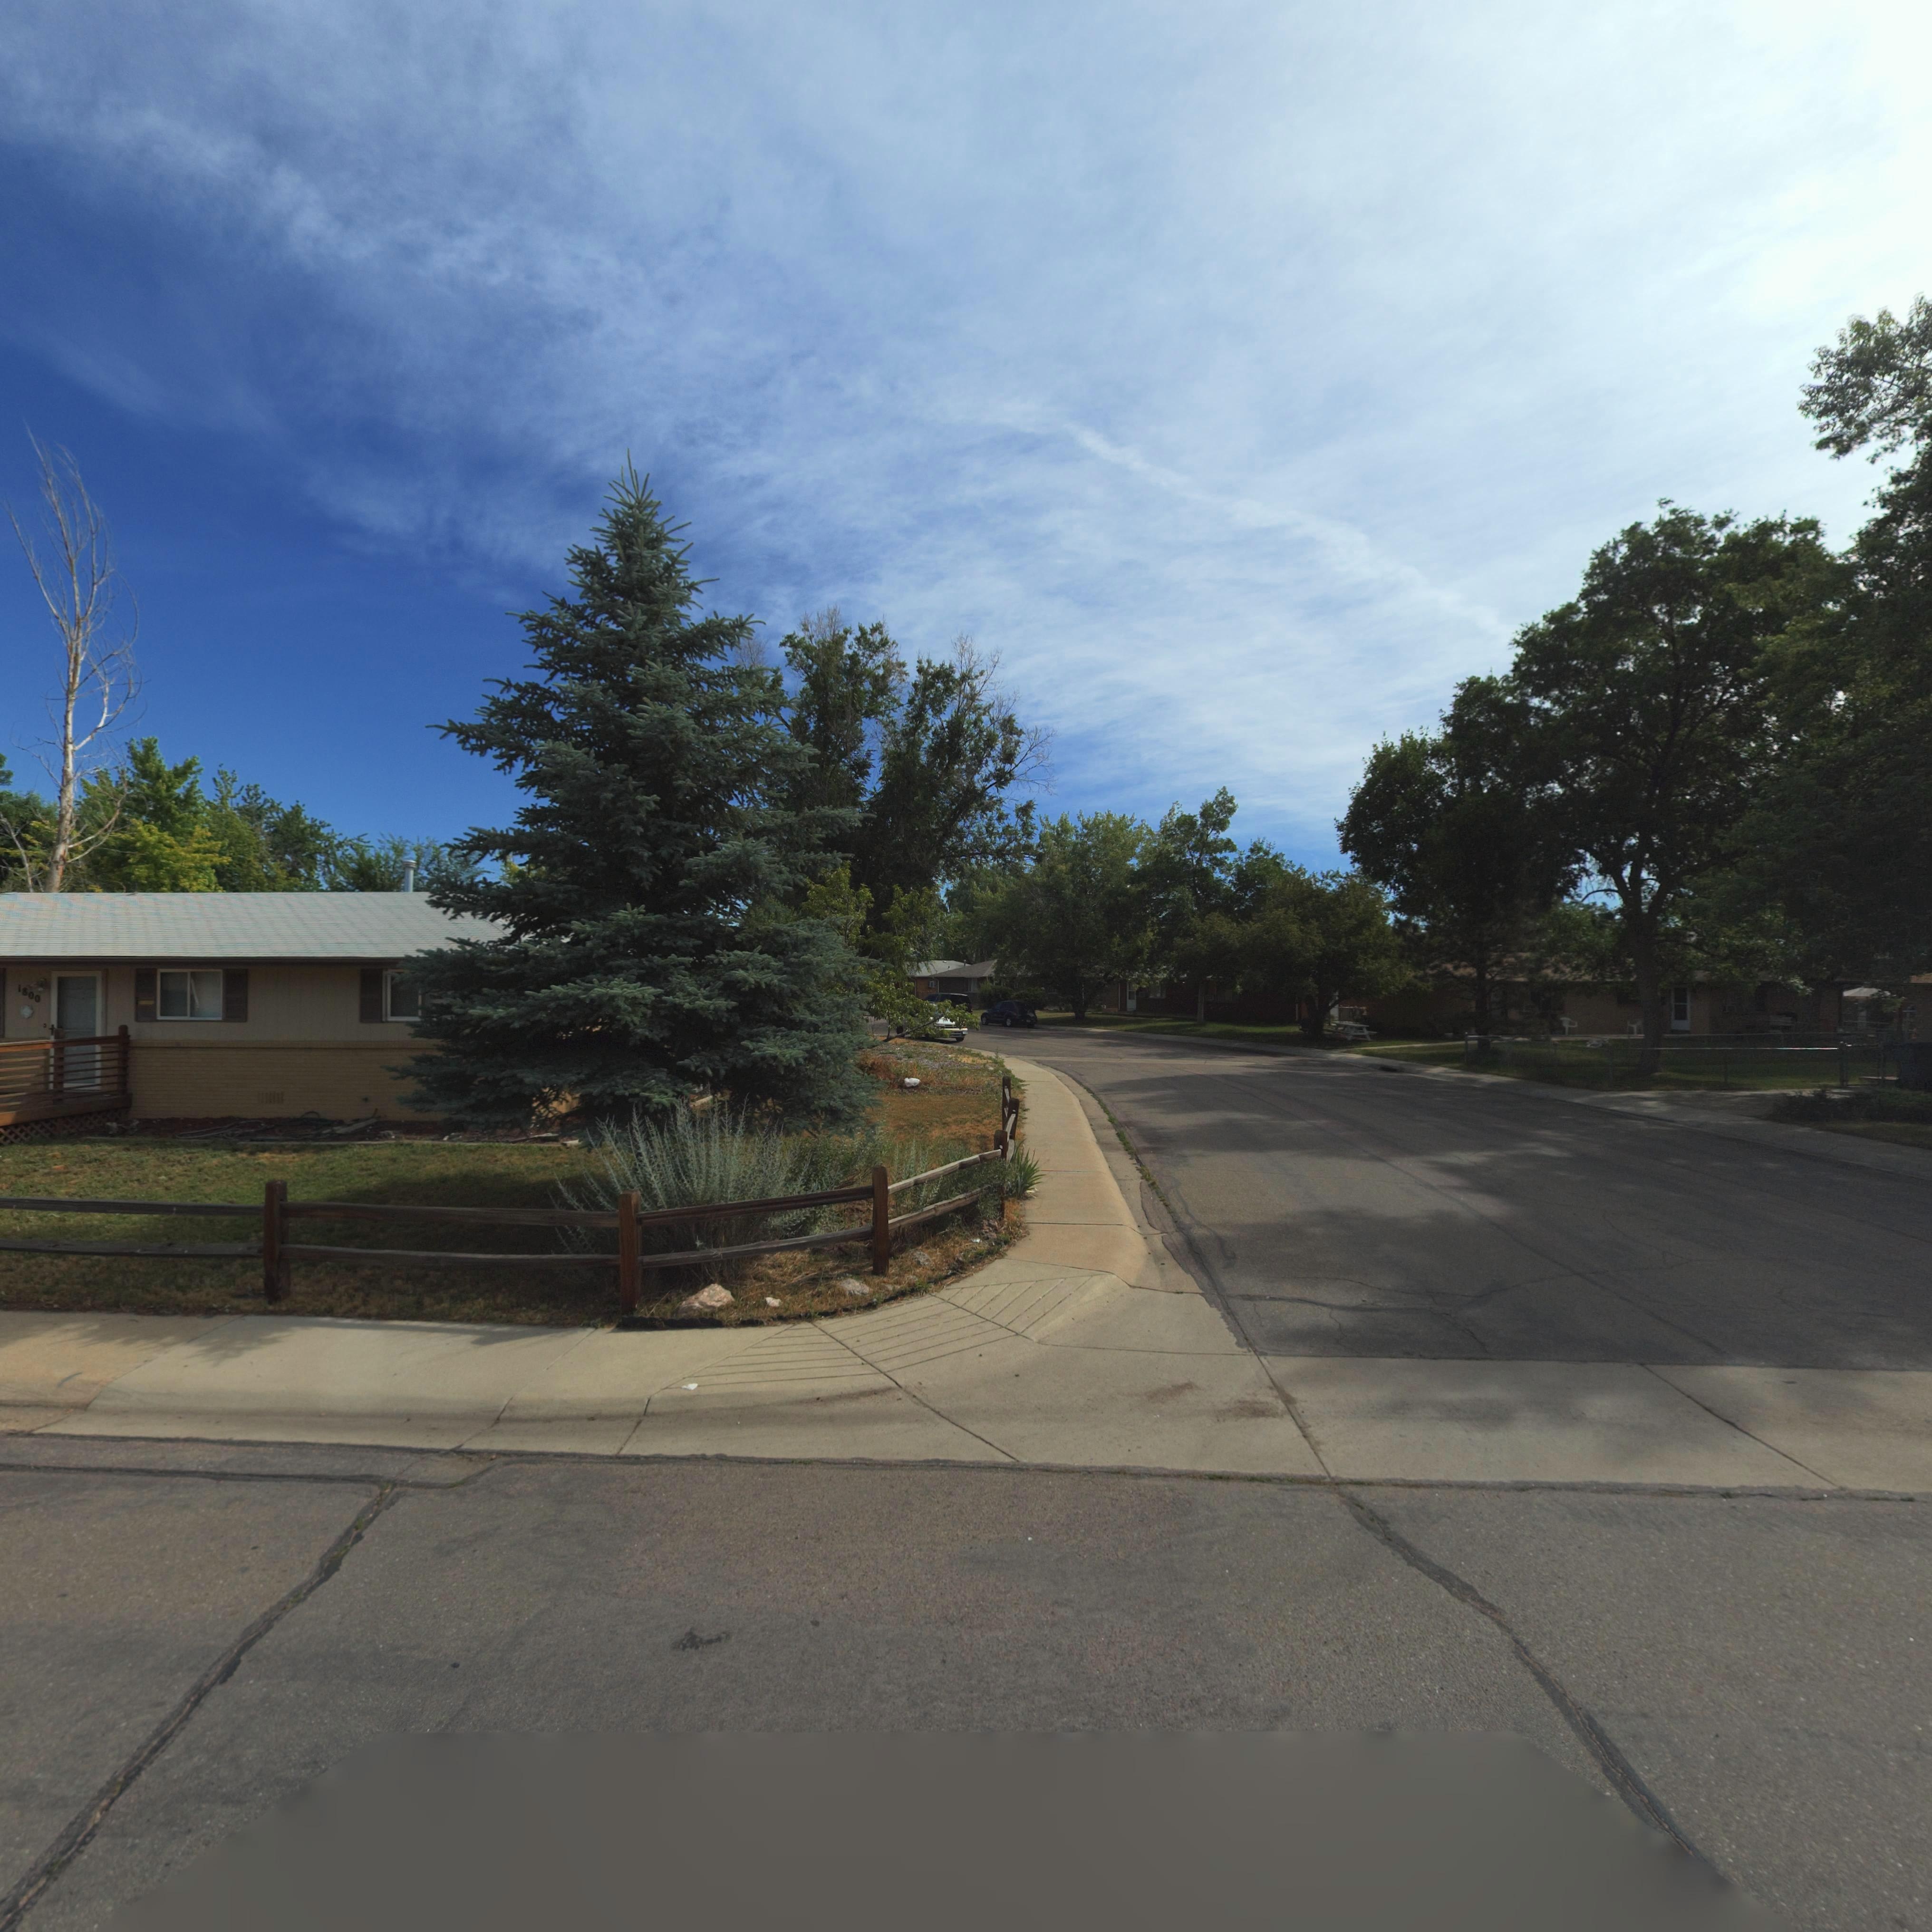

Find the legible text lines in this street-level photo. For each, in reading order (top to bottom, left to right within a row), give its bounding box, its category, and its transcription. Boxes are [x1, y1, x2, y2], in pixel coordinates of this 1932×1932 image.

[18, 983, 40, 1003] StreetNumber: 1800